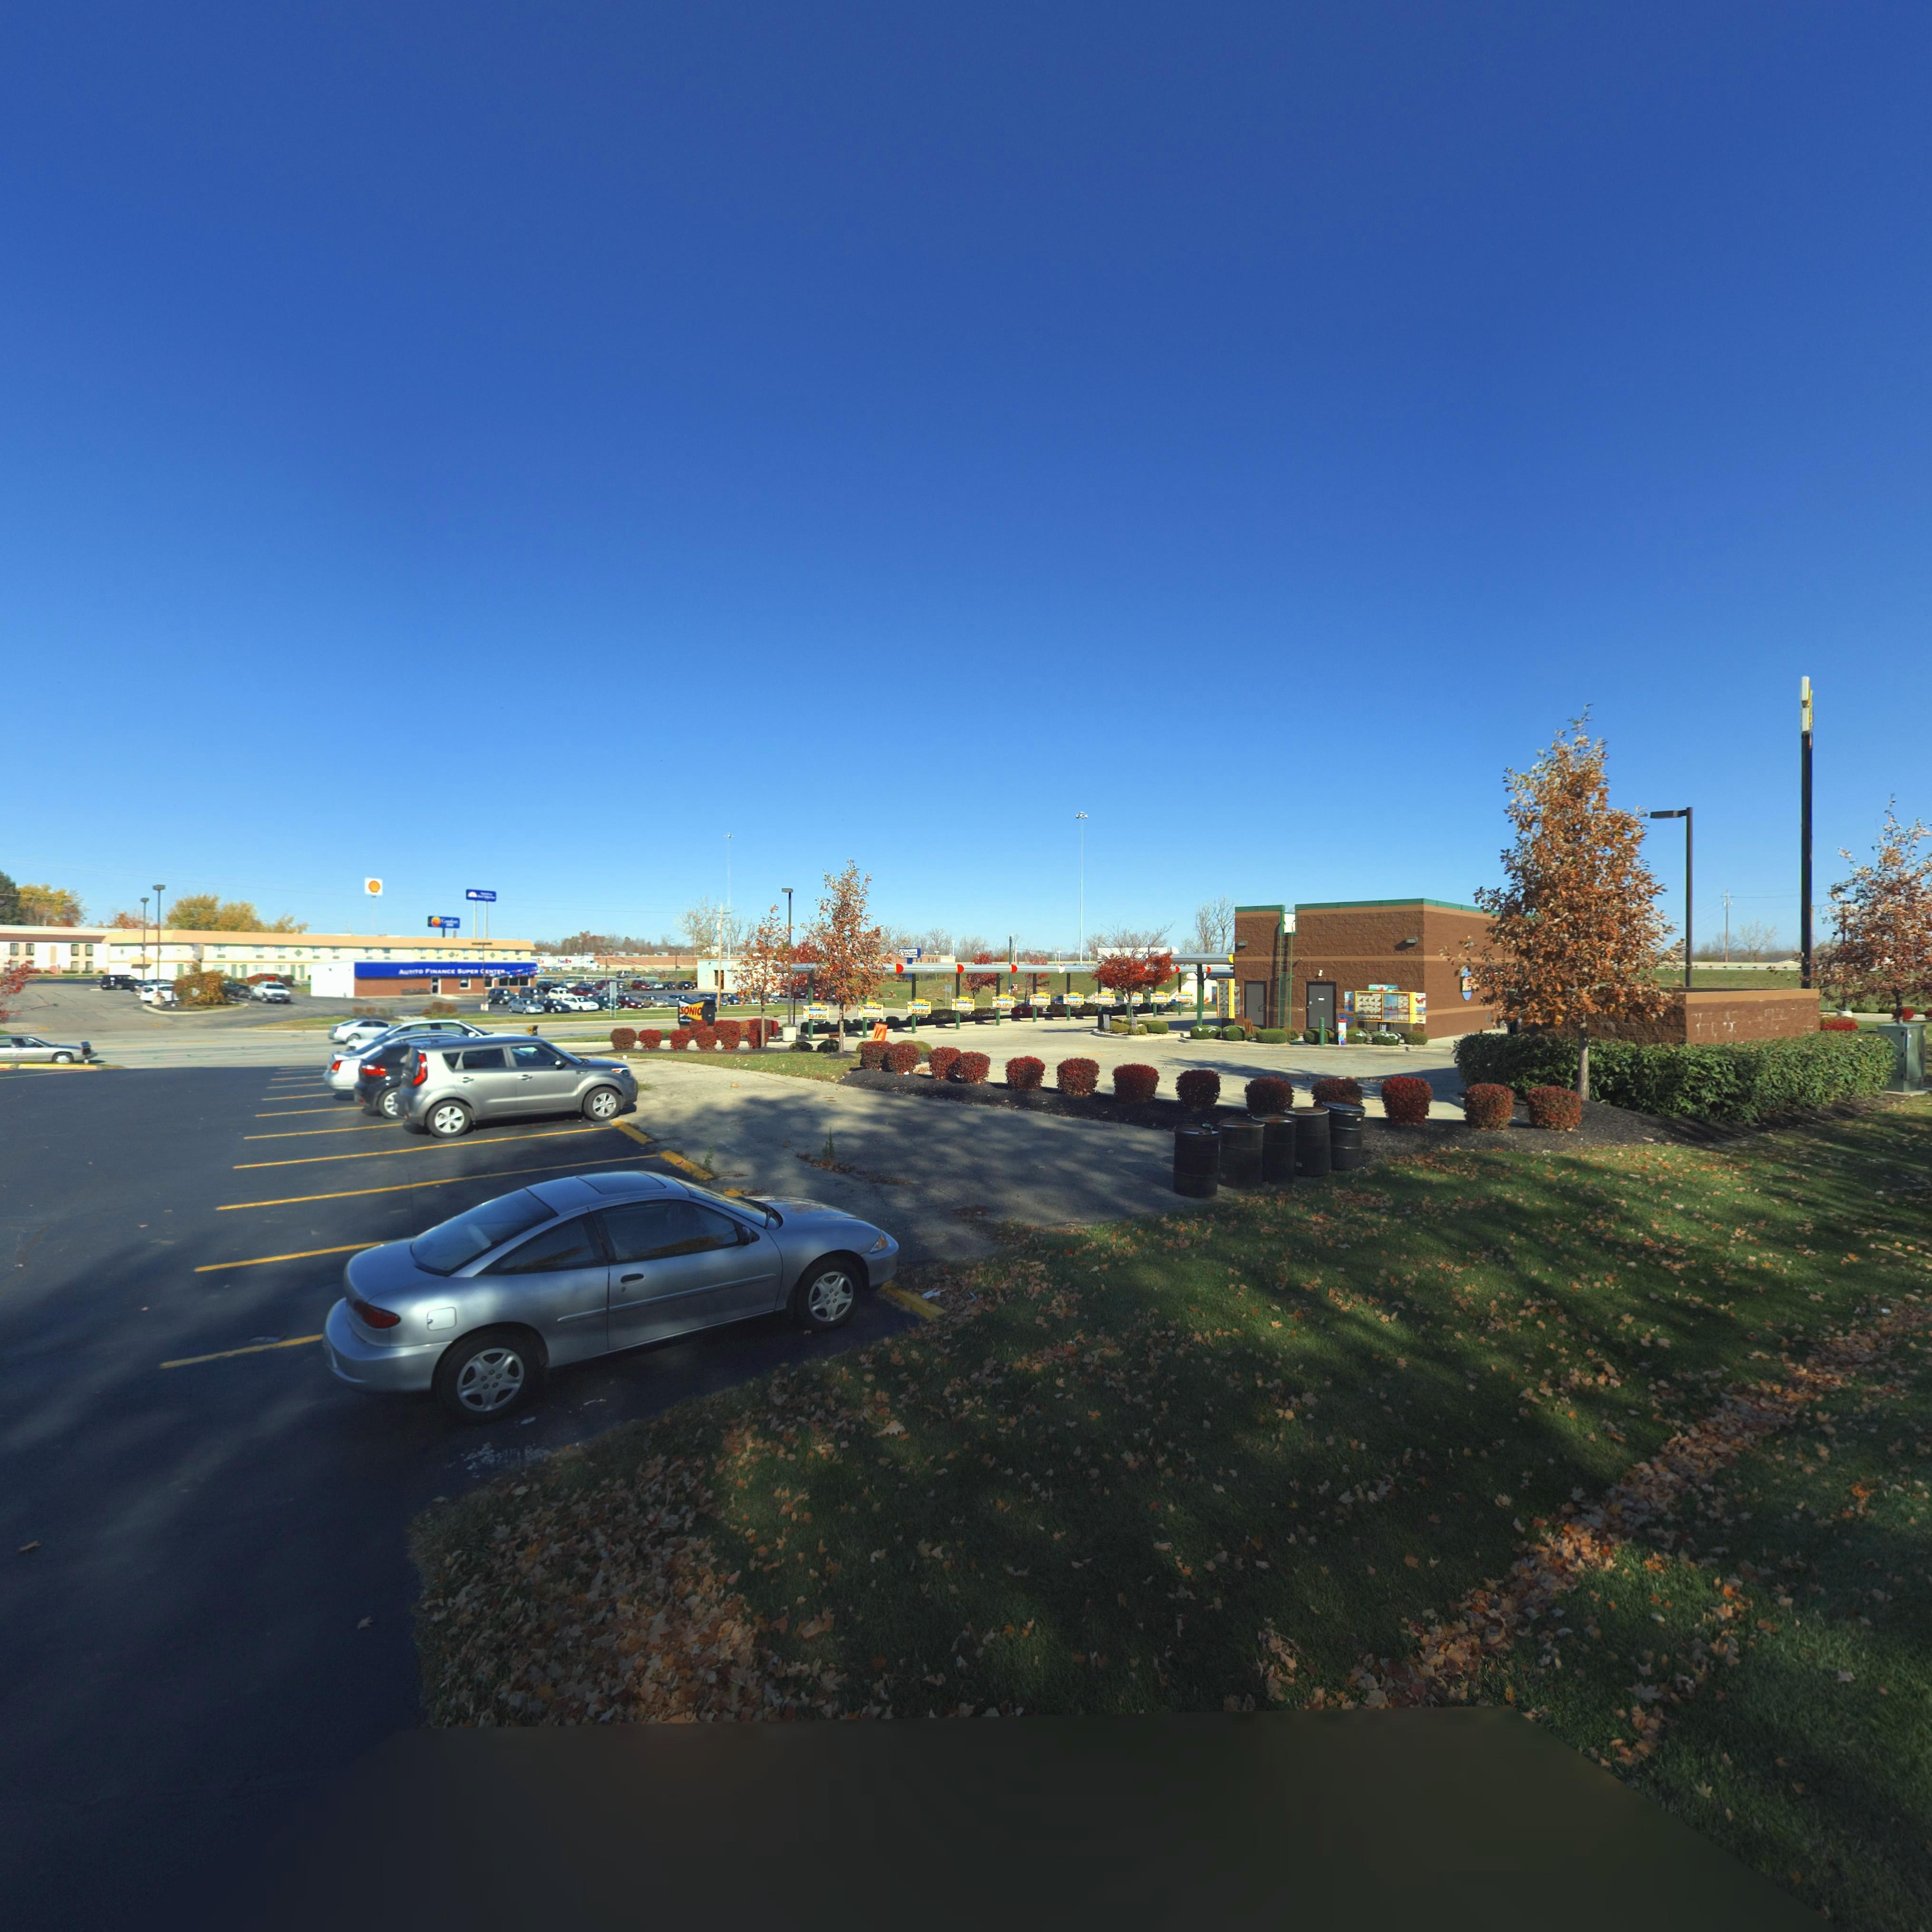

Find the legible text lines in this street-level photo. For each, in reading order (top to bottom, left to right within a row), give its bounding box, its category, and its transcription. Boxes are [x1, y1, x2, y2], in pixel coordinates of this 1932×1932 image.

[1297, 1008, 1299, 1011] StreetNumber: 7